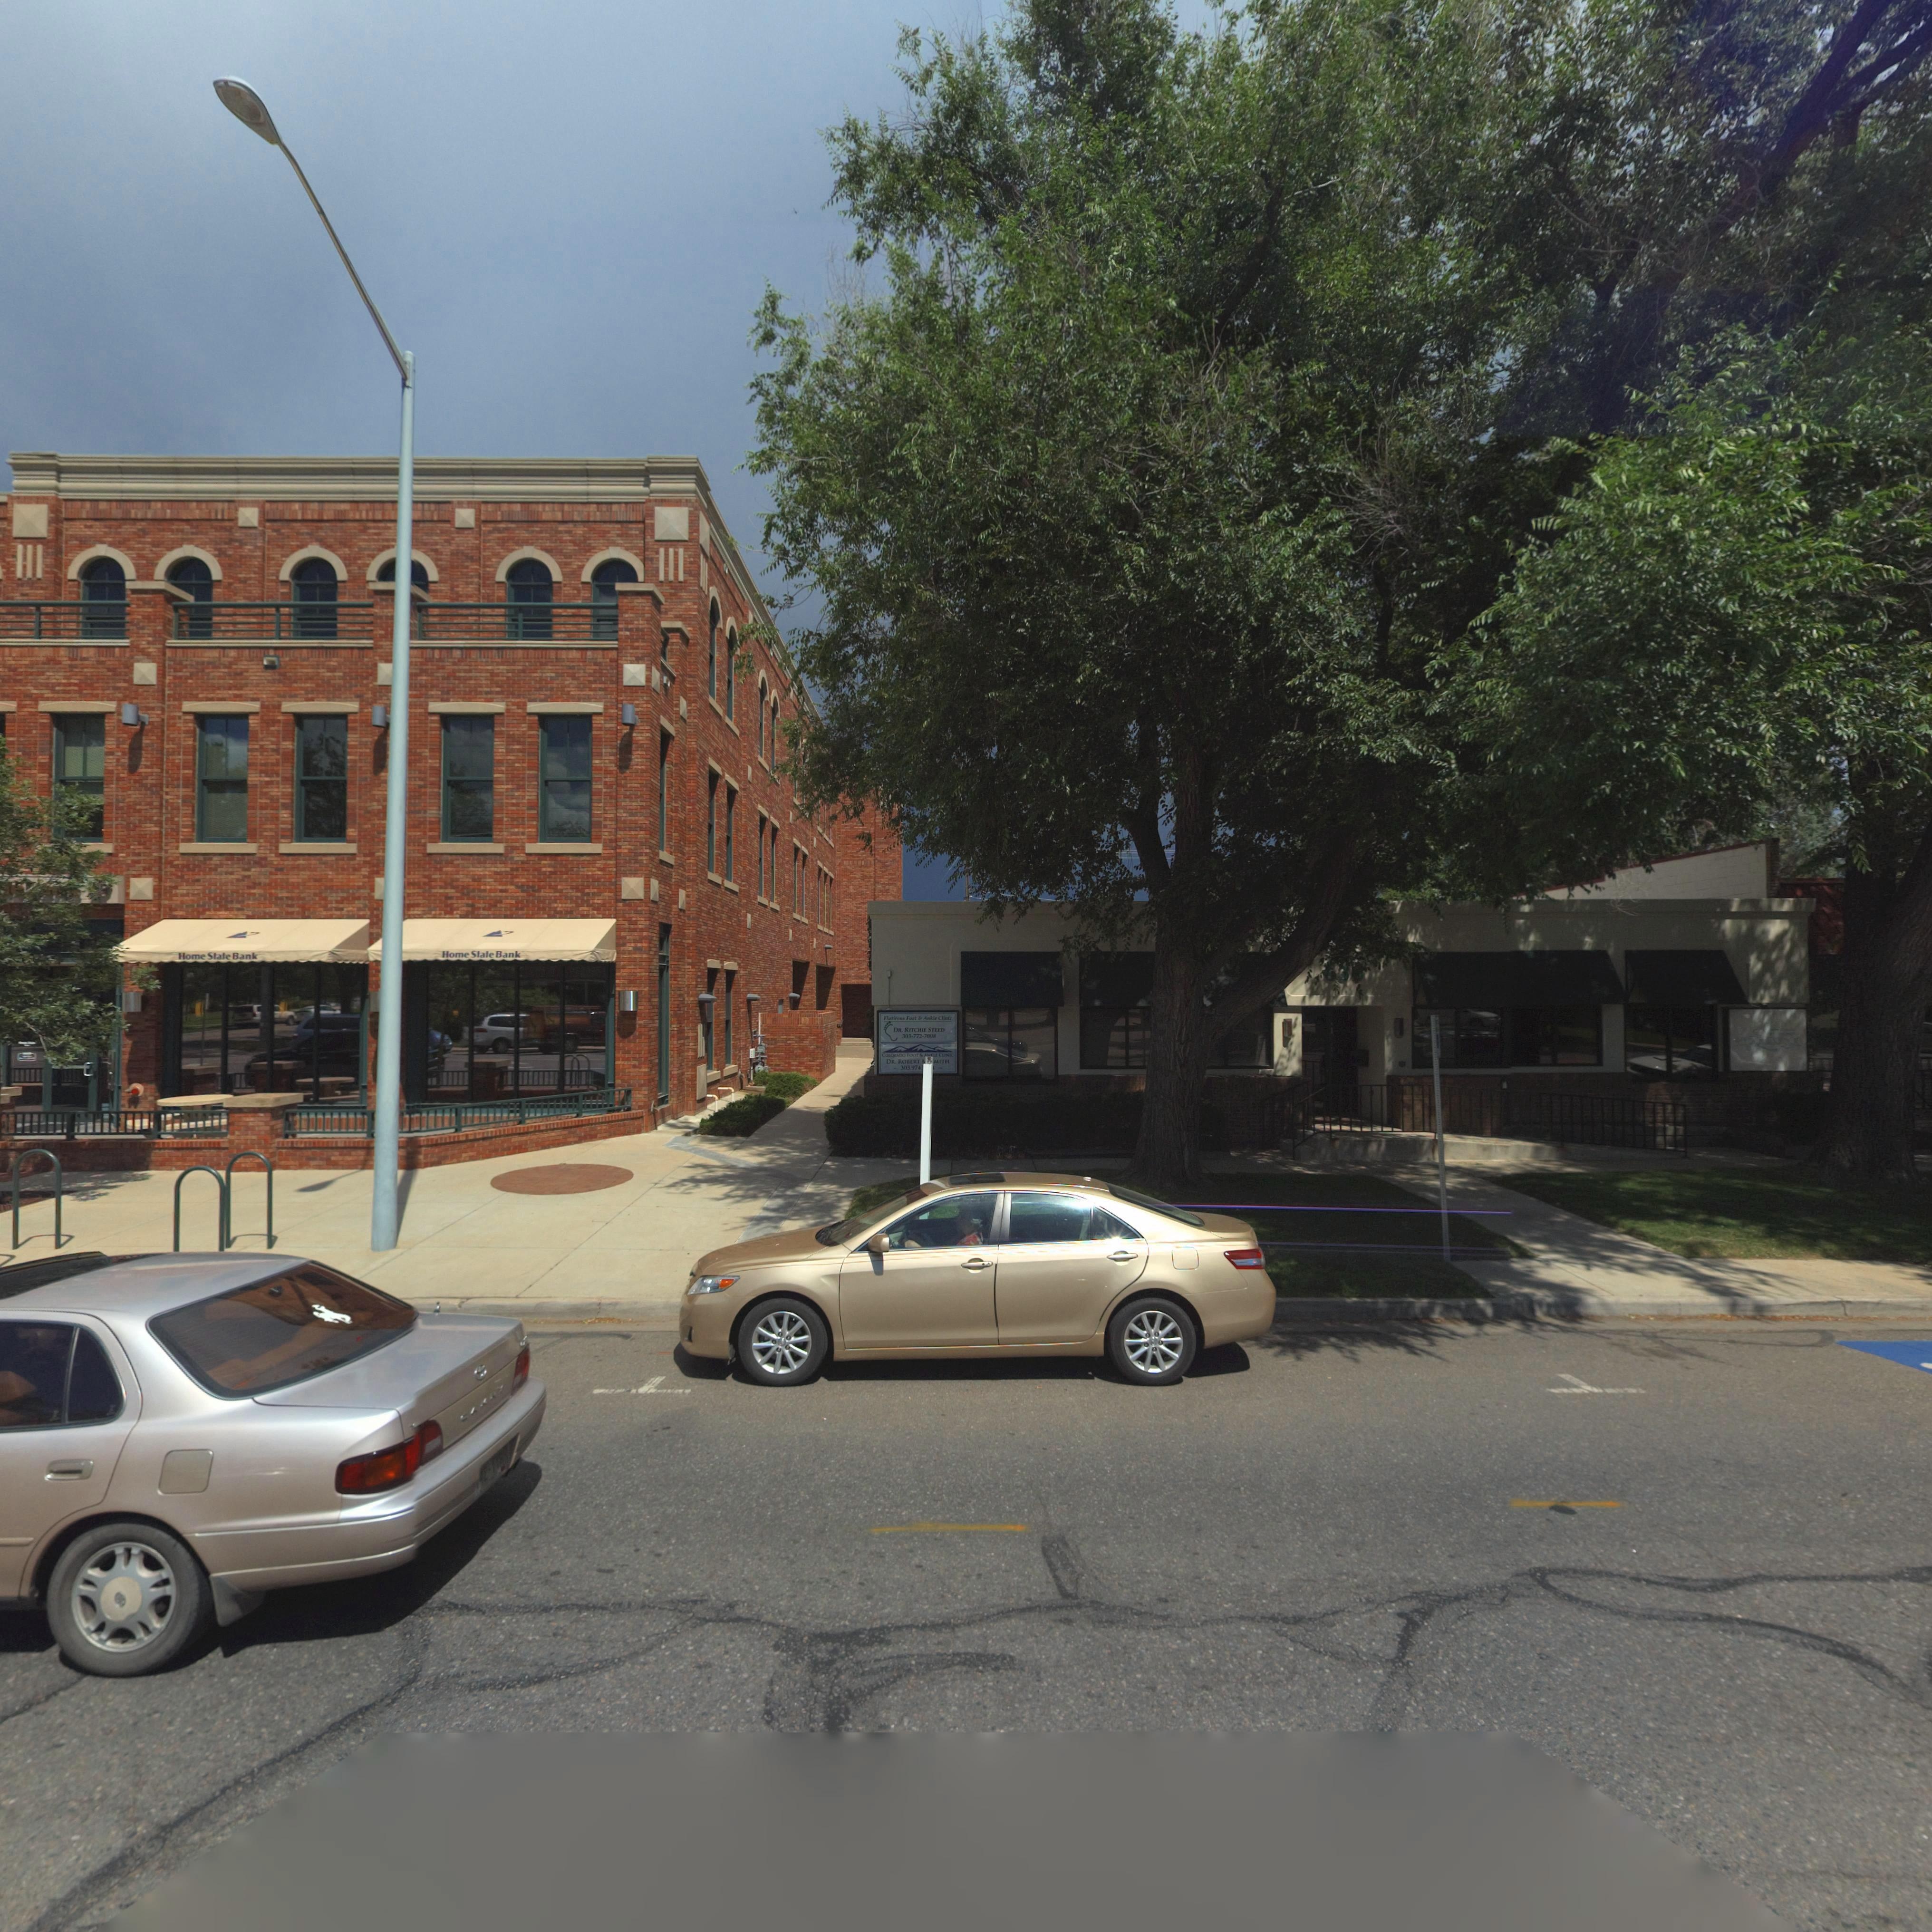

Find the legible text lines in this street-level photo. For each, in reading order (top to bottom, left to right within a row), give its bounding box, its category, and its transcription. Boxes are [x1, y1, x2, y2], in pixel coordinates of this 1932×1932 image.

[9, 880, 82, 898] BusinessName: e **n*
[178, 951, 259, 960] BusinessName: Home State Bank
[442, 950, 522, 958] BusinessName: Home State Bank
[1322, 959, 1367, 982] StreetNumber: *3*
[883, 1015, 952, 1021] BusinessName: Flatirons Foot & Ankle Clinic
[893, 1027, 945, 1033] BusinessName: DR. RITCHIE STEED
[881, 1053, 955, 1058] BusinessName: COLORADO FOOT & ANKLE CLINIC
[886, 1058, 949, 1064] BusinessName:  DR. ROBERT ** *MITH